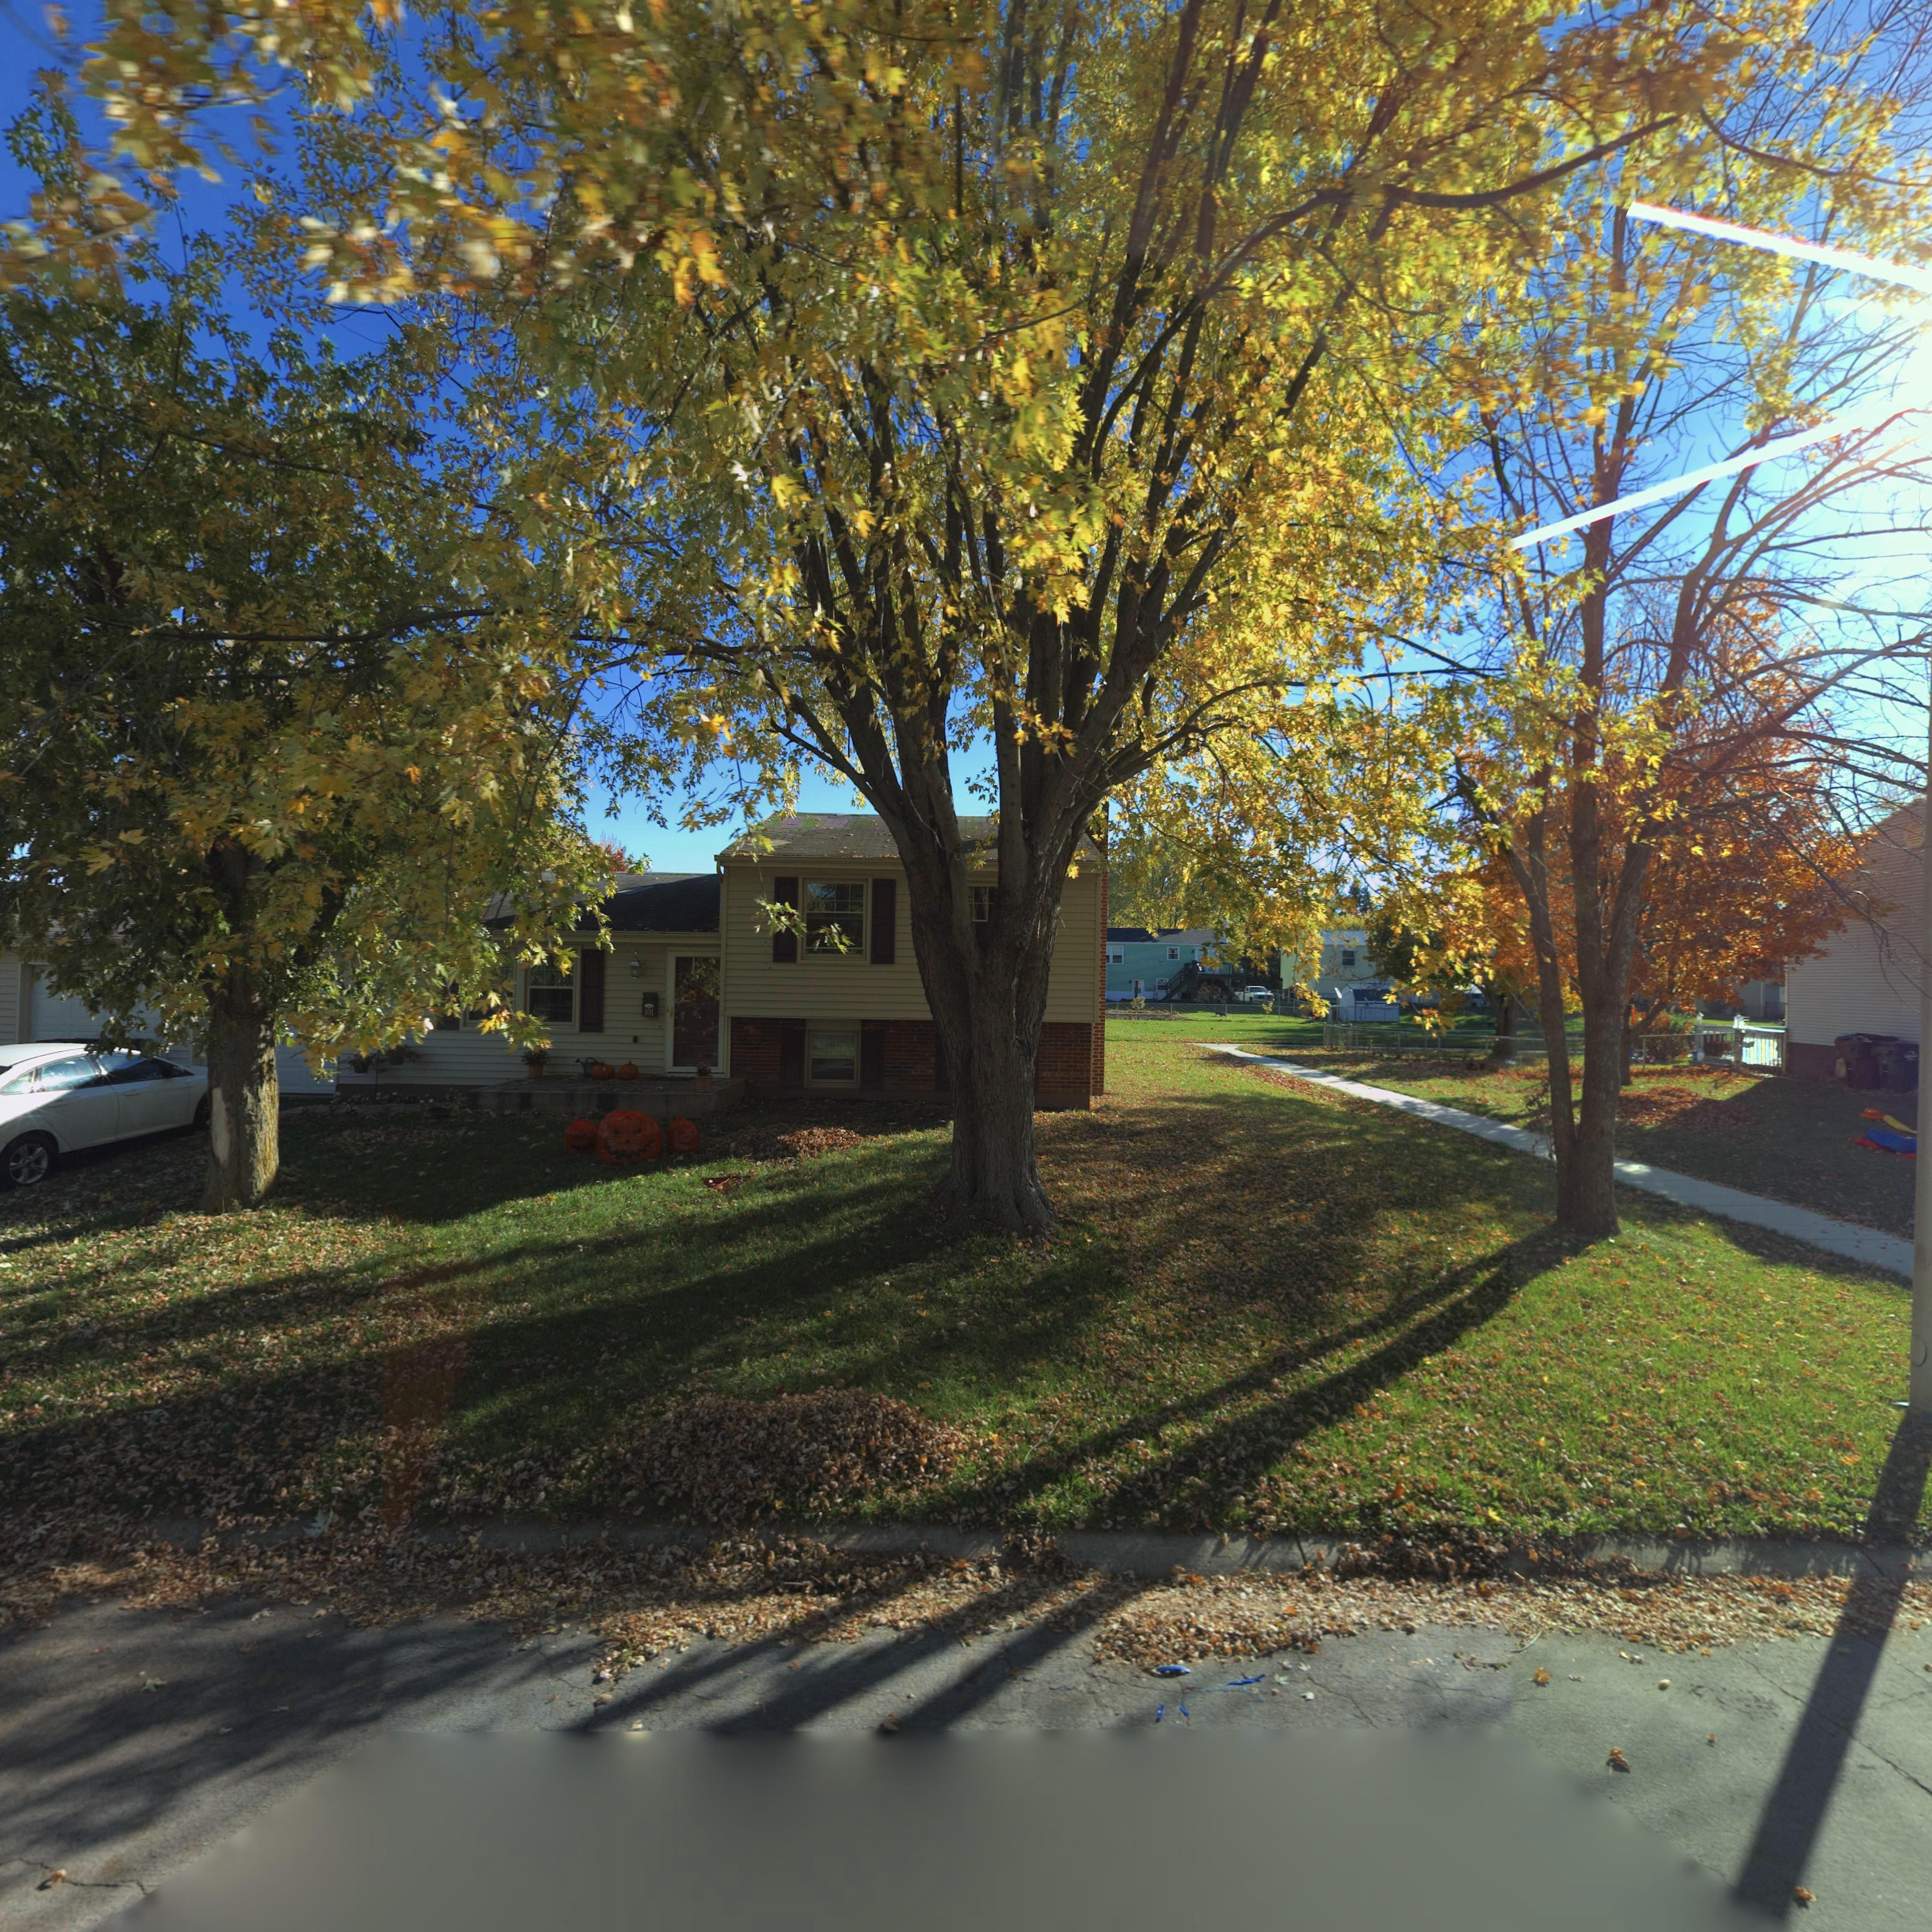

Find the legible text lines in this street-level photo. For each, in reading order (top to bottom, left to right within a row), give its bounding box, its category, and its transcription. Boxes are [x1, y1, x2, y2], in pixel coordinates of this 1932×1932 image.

[644, 1007, 654, 1016] StreetNumber: 101